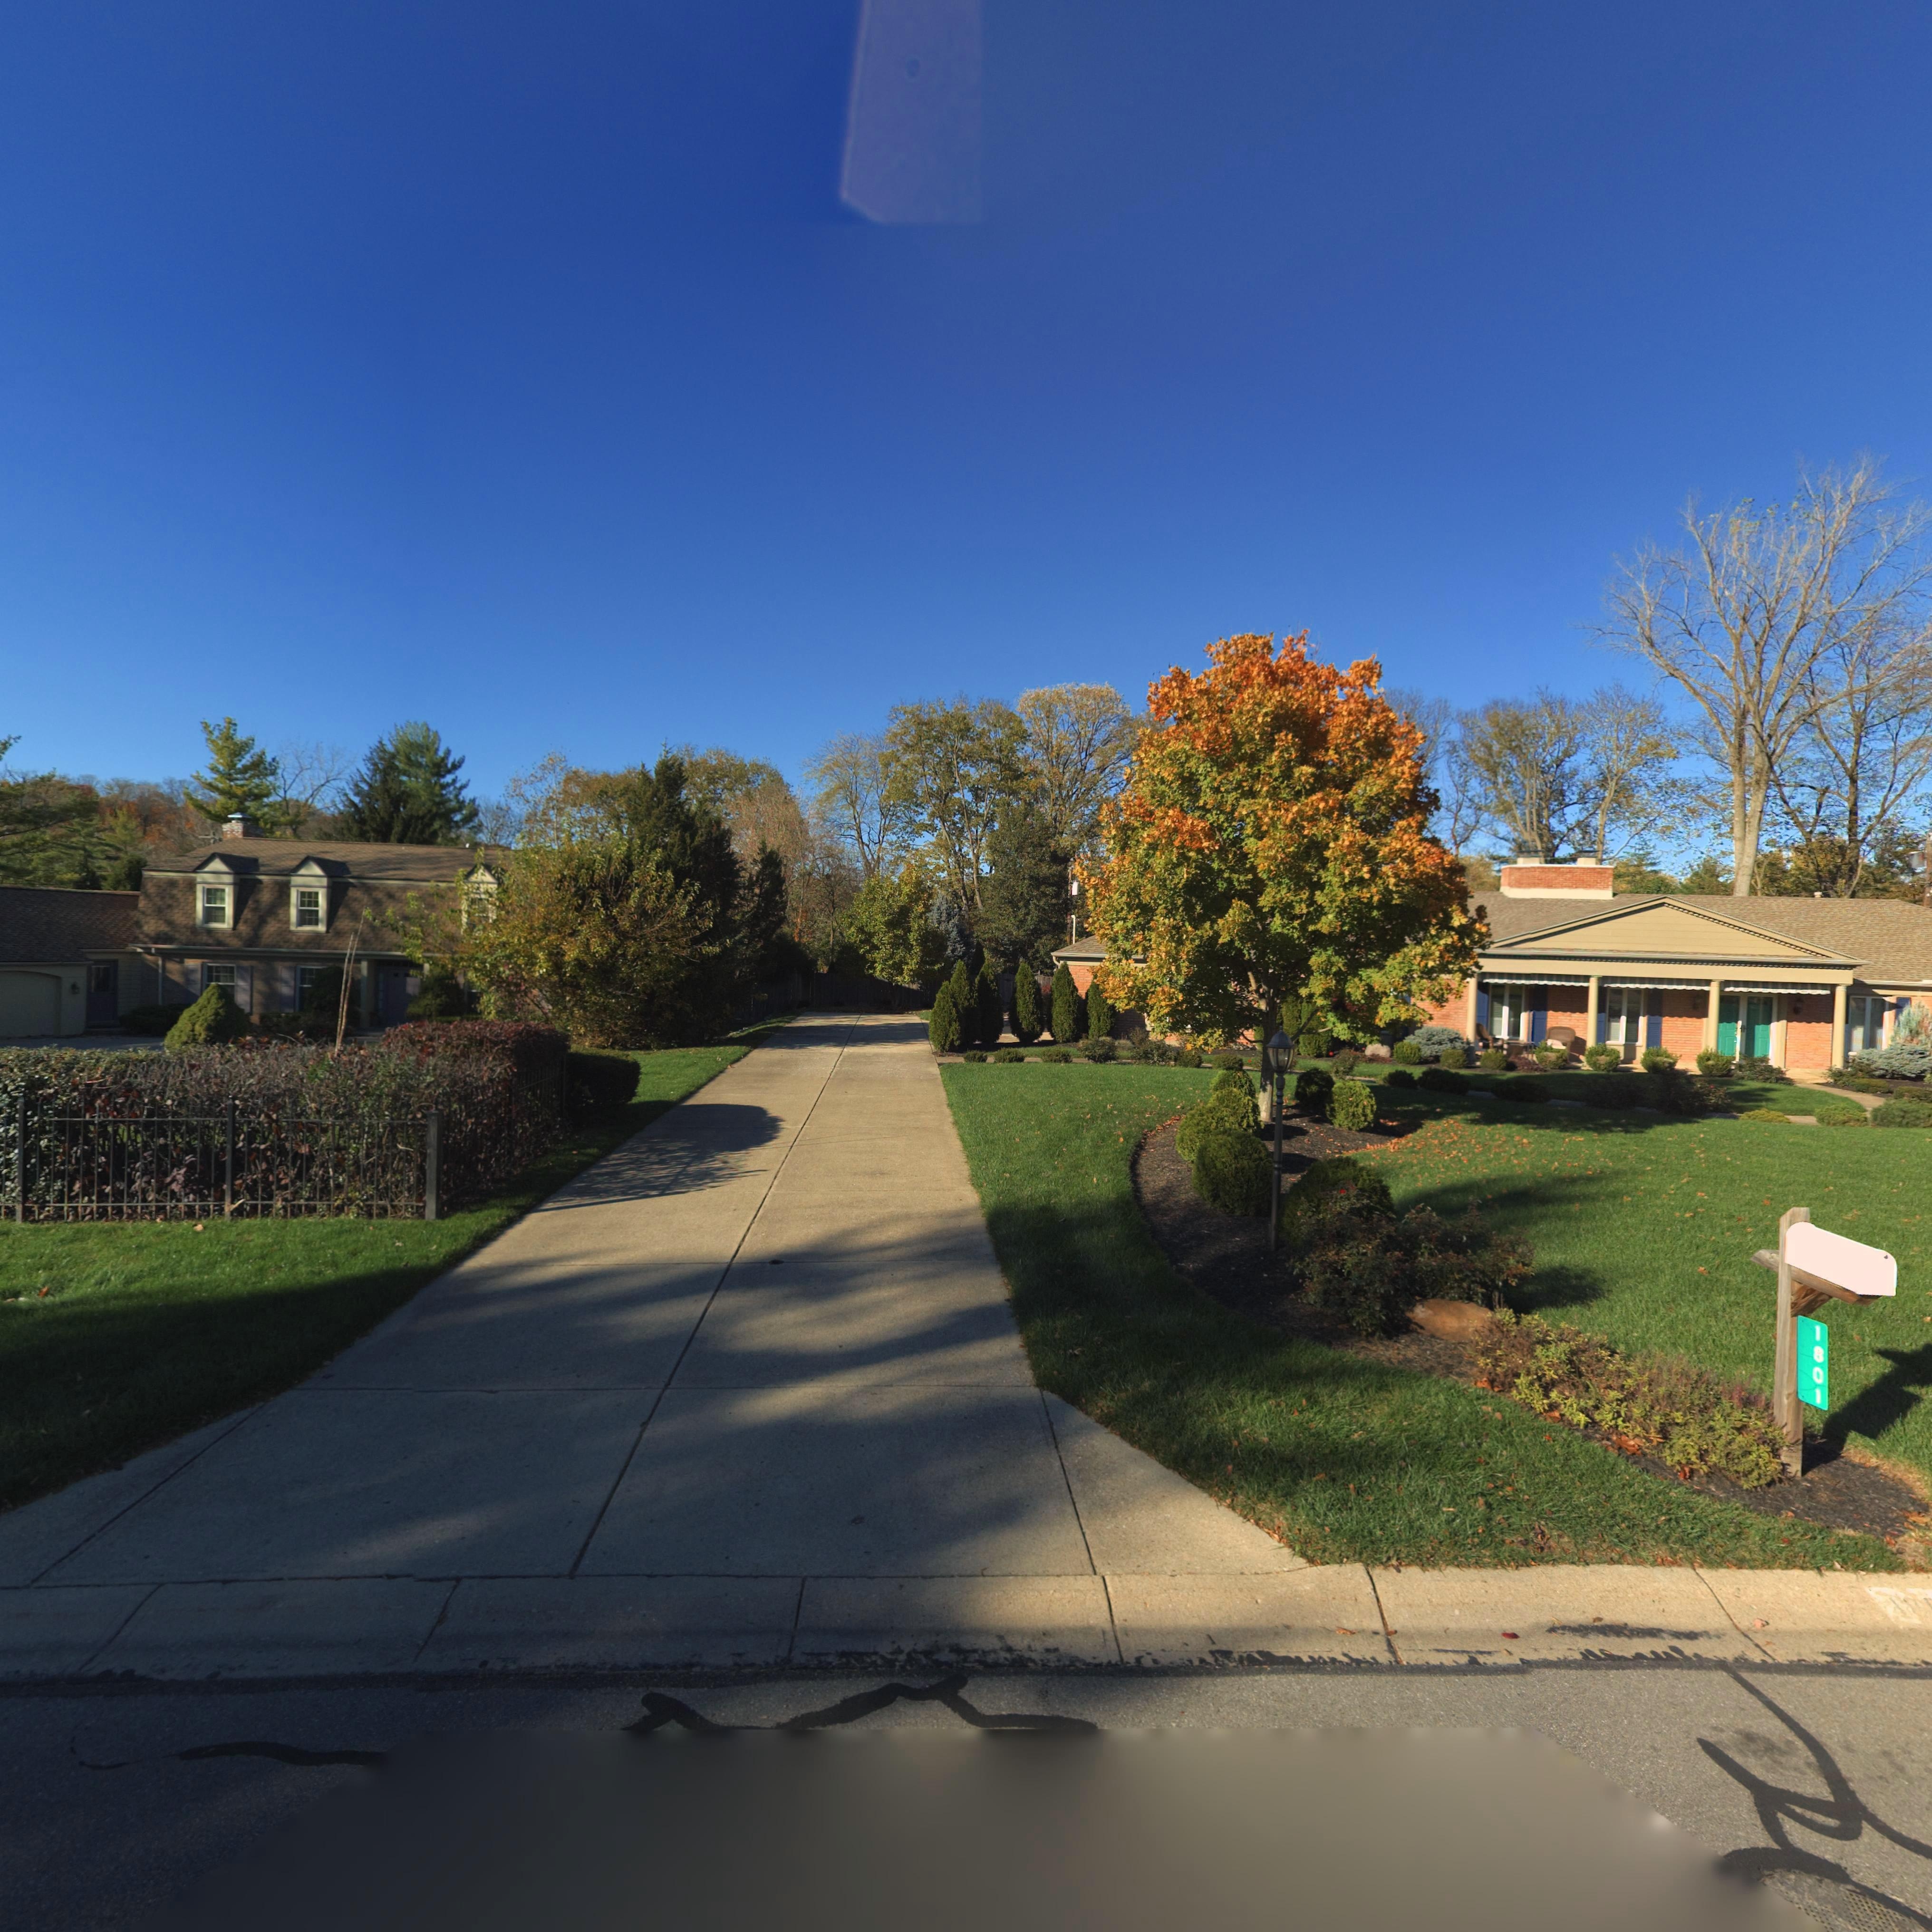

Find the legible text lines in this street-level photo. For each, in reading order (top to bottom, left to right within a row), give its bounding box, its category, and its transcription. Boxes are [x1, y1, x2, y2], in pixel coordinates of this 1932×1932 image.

[1811, 1324, 1826, 1405] StreetNumber: 1801